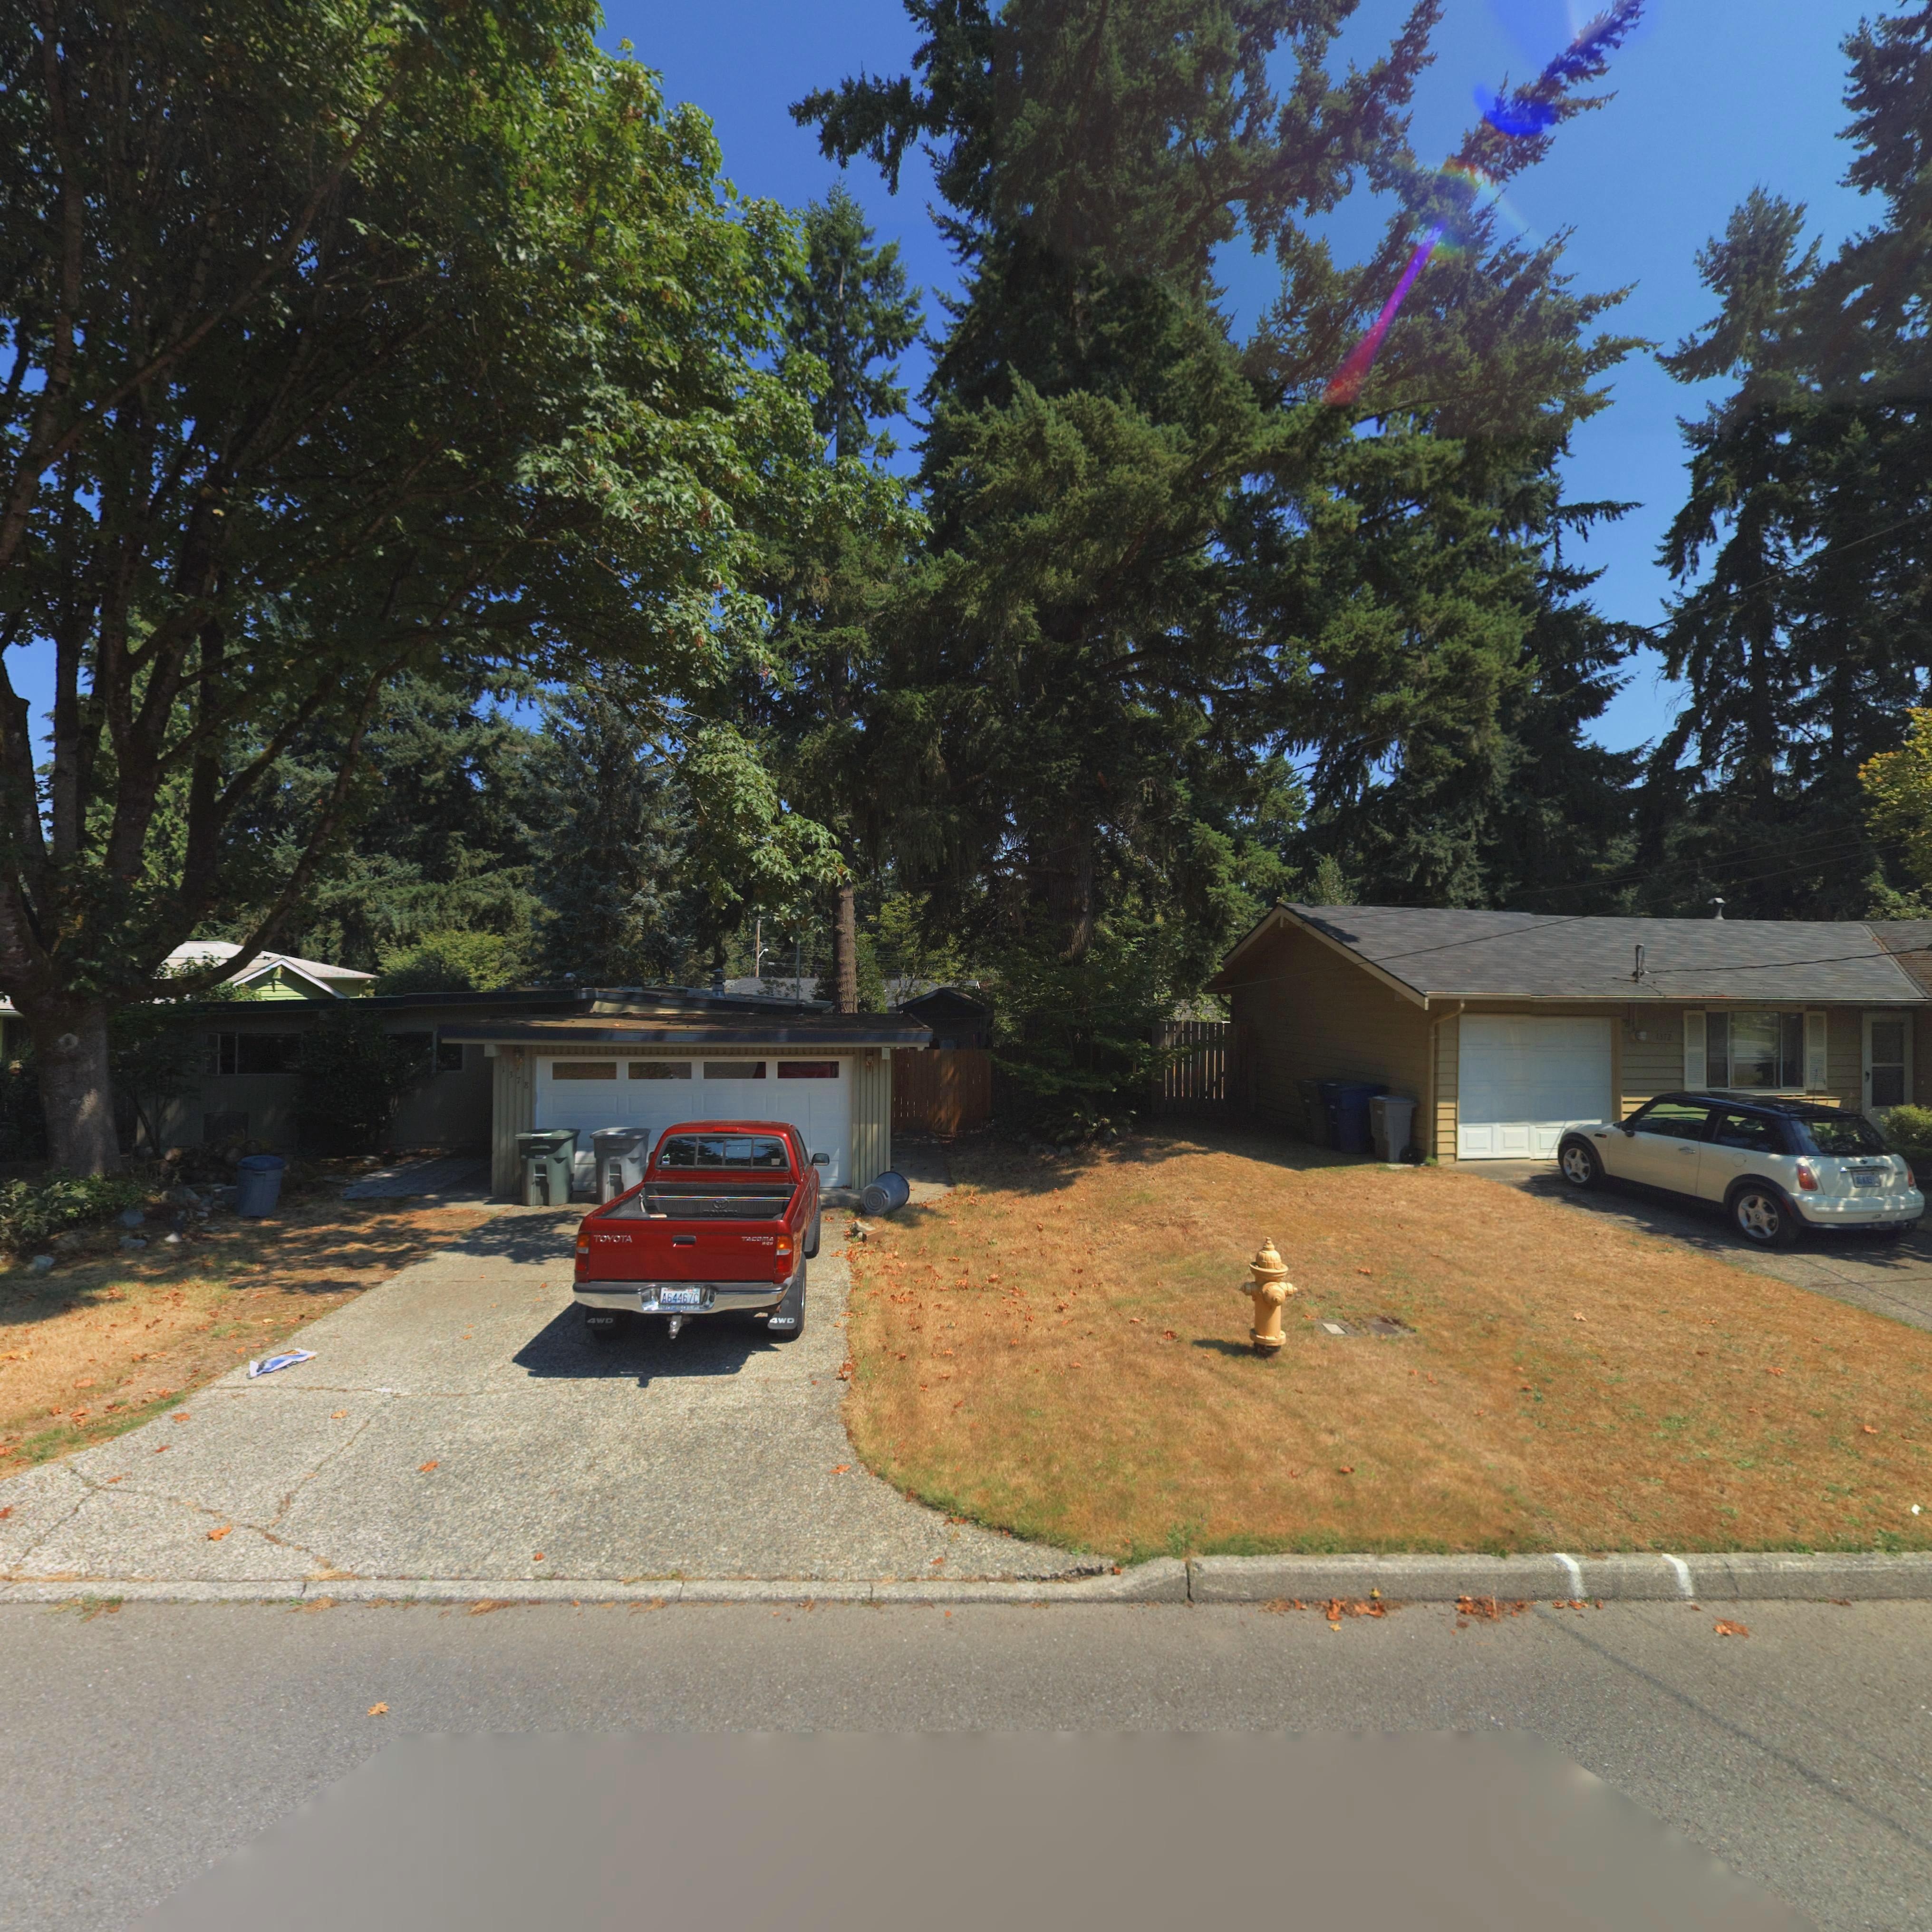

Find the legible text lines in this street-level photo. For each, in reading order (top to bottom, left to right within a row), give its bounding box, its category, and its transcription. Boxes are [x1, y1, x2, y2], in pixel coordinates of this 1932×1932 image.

[502, 1066, 528, 1088] StreetNumber: 1378